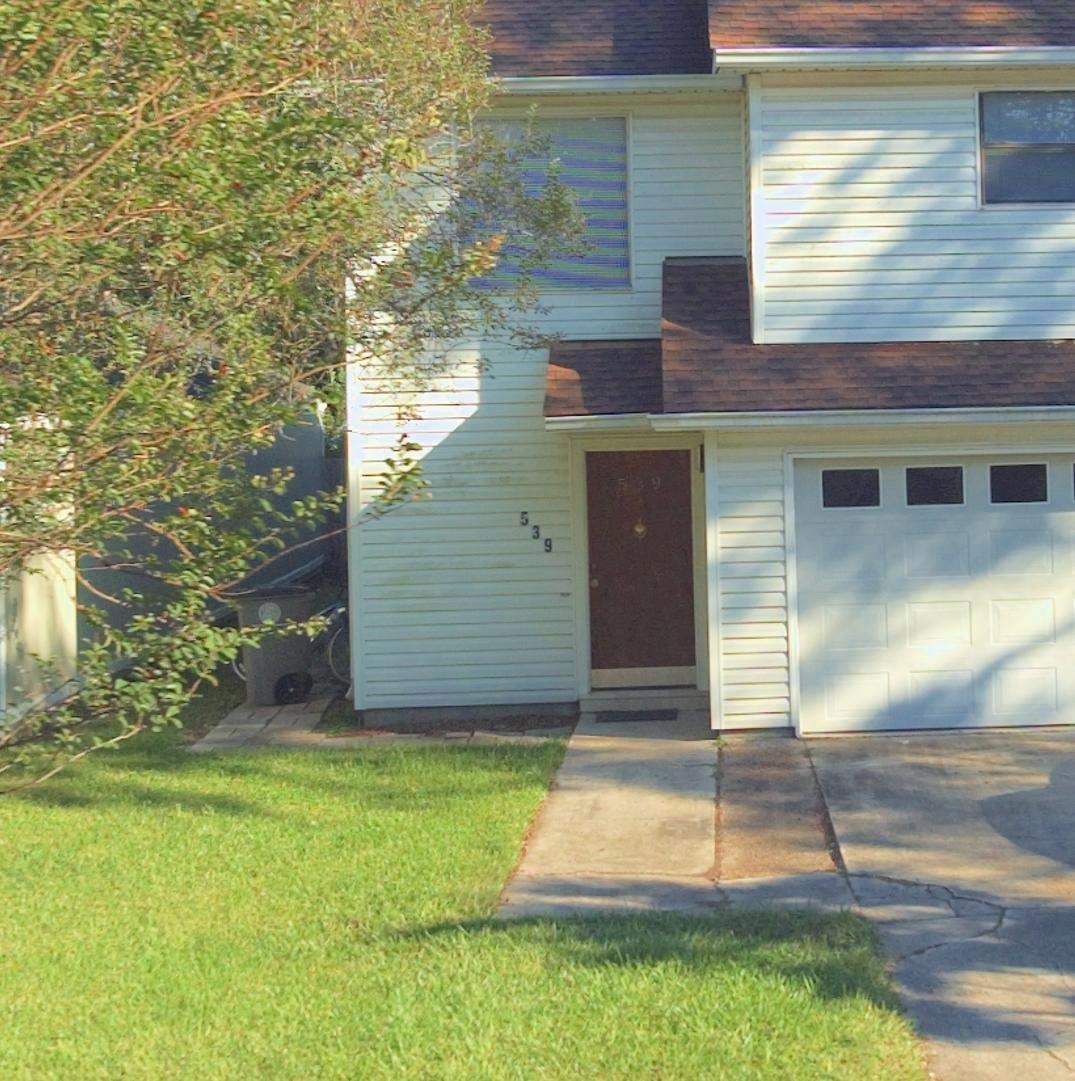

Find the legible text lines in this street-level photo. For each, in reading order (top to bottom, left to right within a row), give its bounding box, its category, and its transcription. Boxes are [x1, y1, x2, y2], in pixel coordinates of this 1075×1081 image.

[615, 474, 662, 493] StreetNumber: 539
[520, 510, 552, 559] StreetNumber: 539